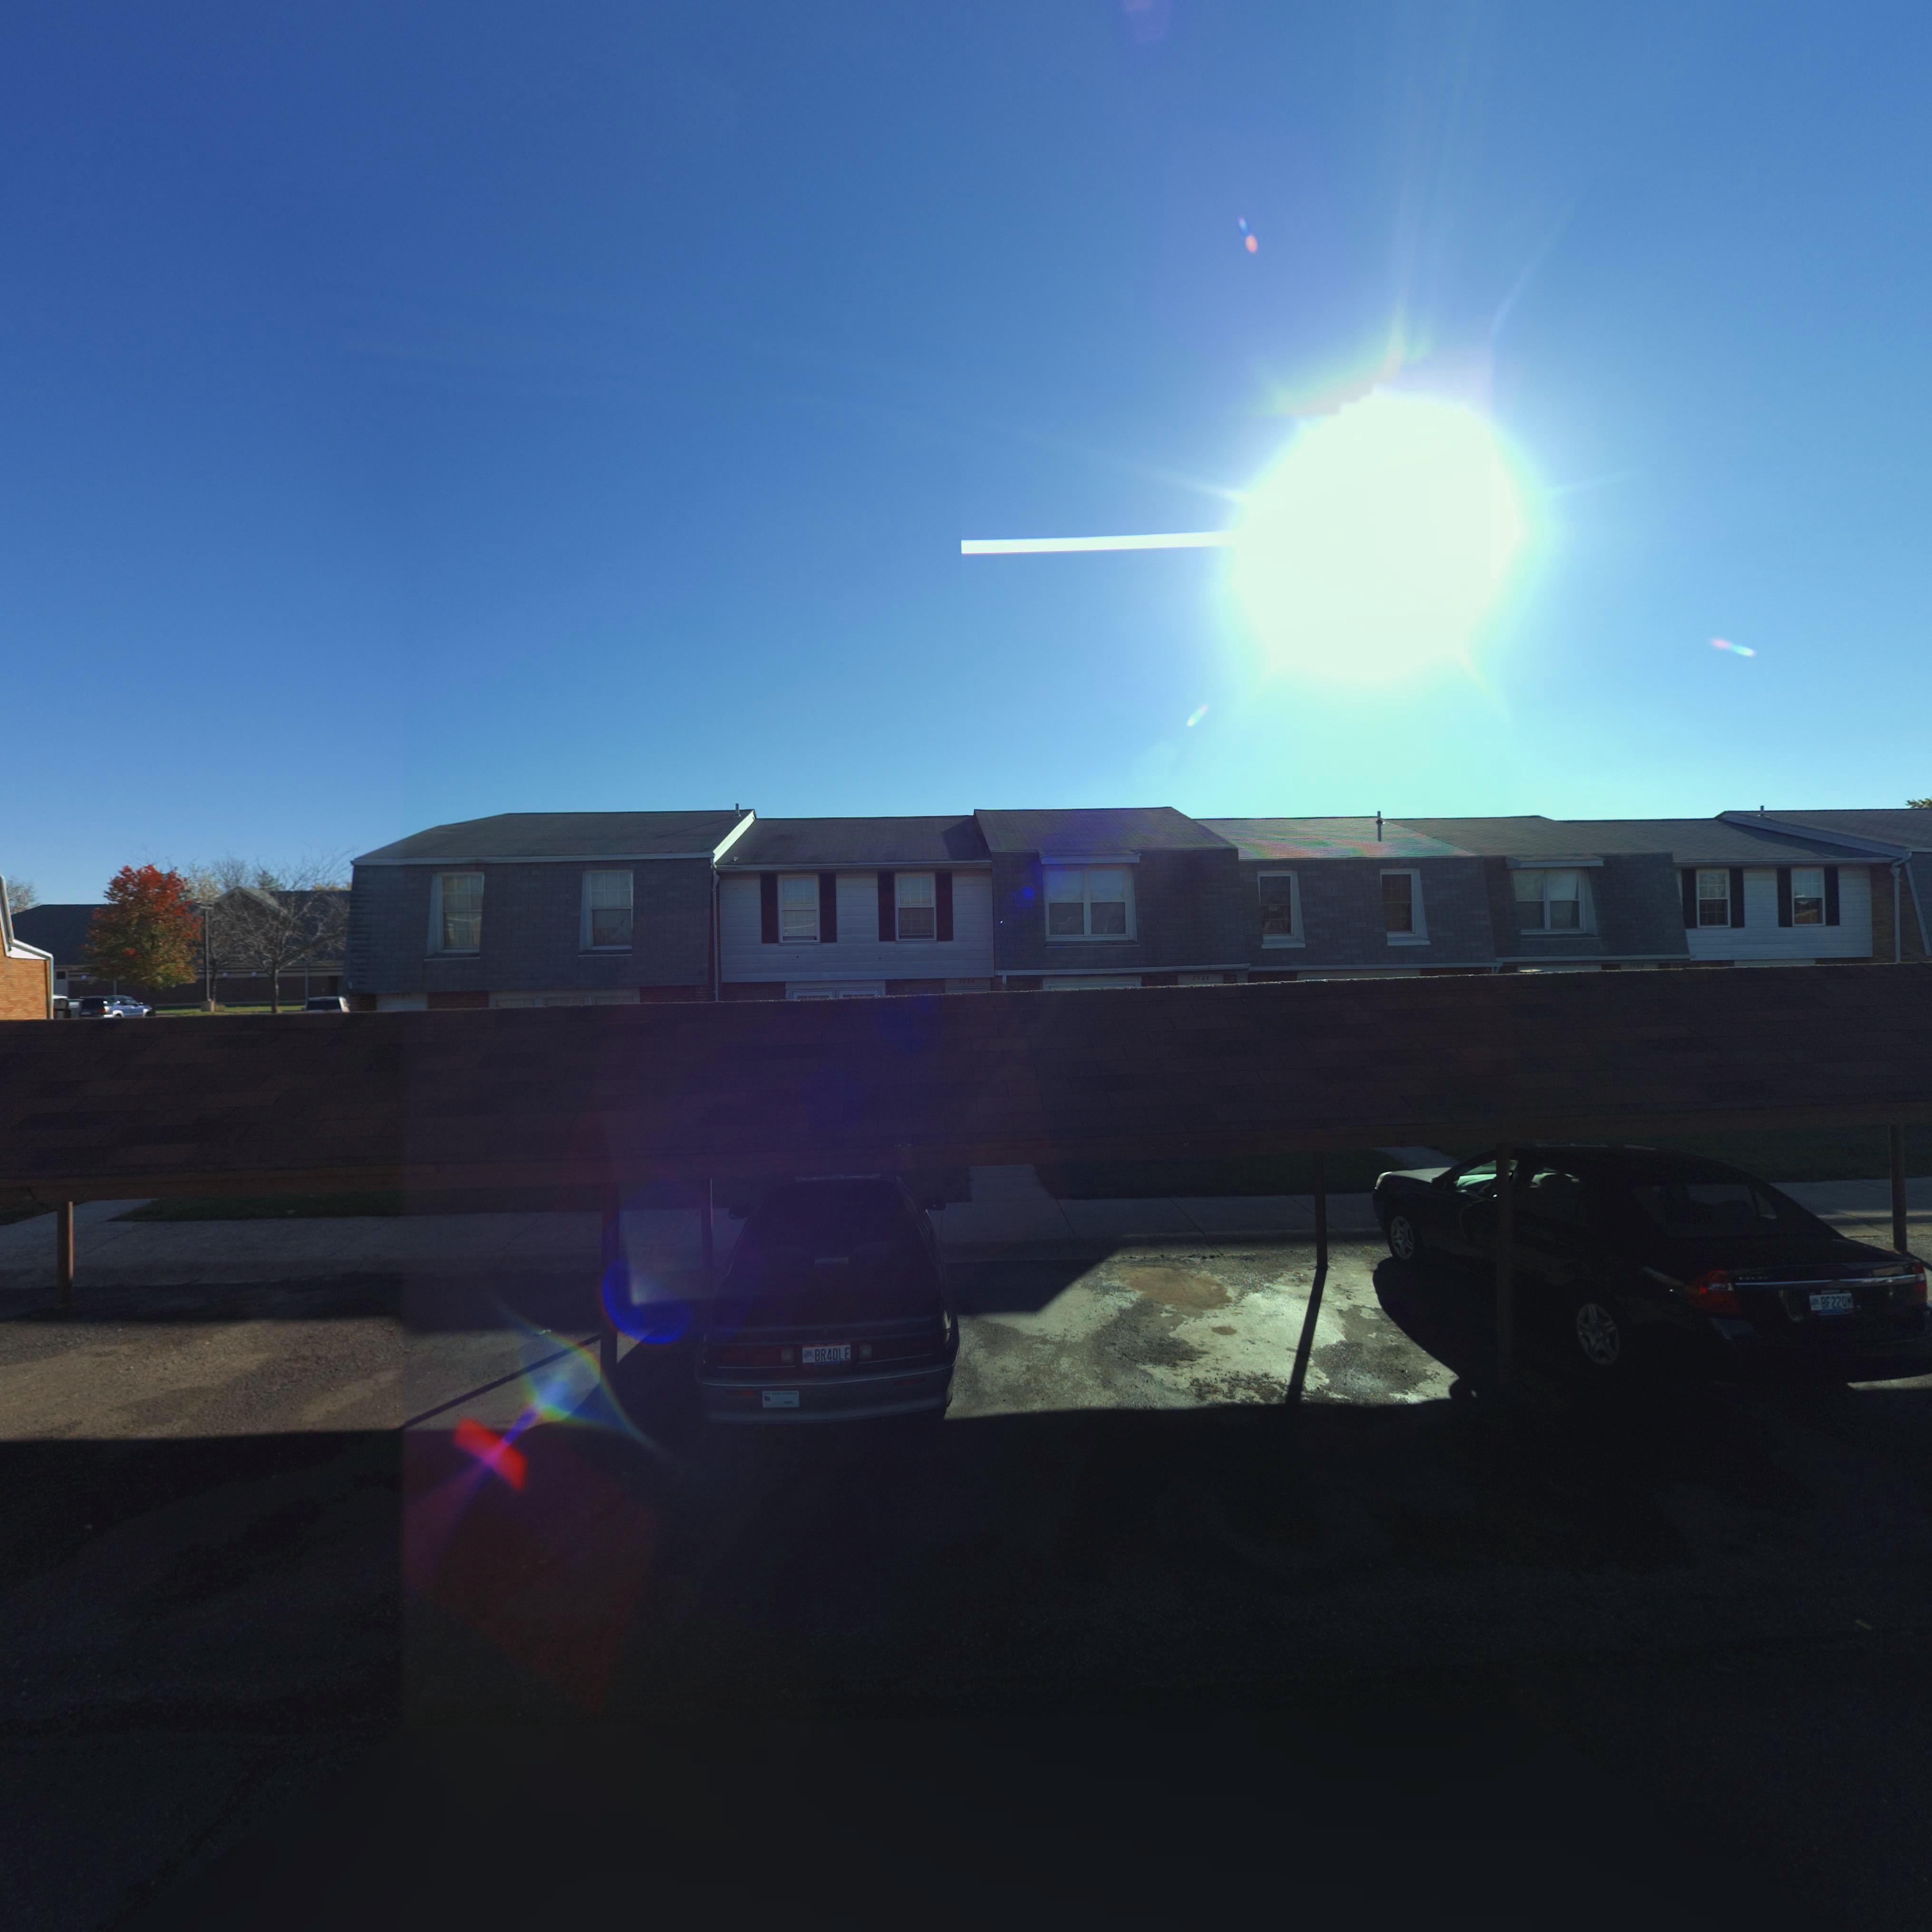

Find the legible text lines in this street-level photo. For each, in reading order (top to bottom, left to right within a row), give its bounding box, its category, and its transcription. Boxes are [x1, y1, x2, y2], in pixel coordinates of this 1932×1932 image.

[1629, 962, 1645, 968] StreetNumber: 752*
[958, 978, 975, 984] StreetNumber: 7526
[1192, 975, 1209, 981] StreetNumber: 7524
[389, 992, 411, 999] StreetNumber: 75**